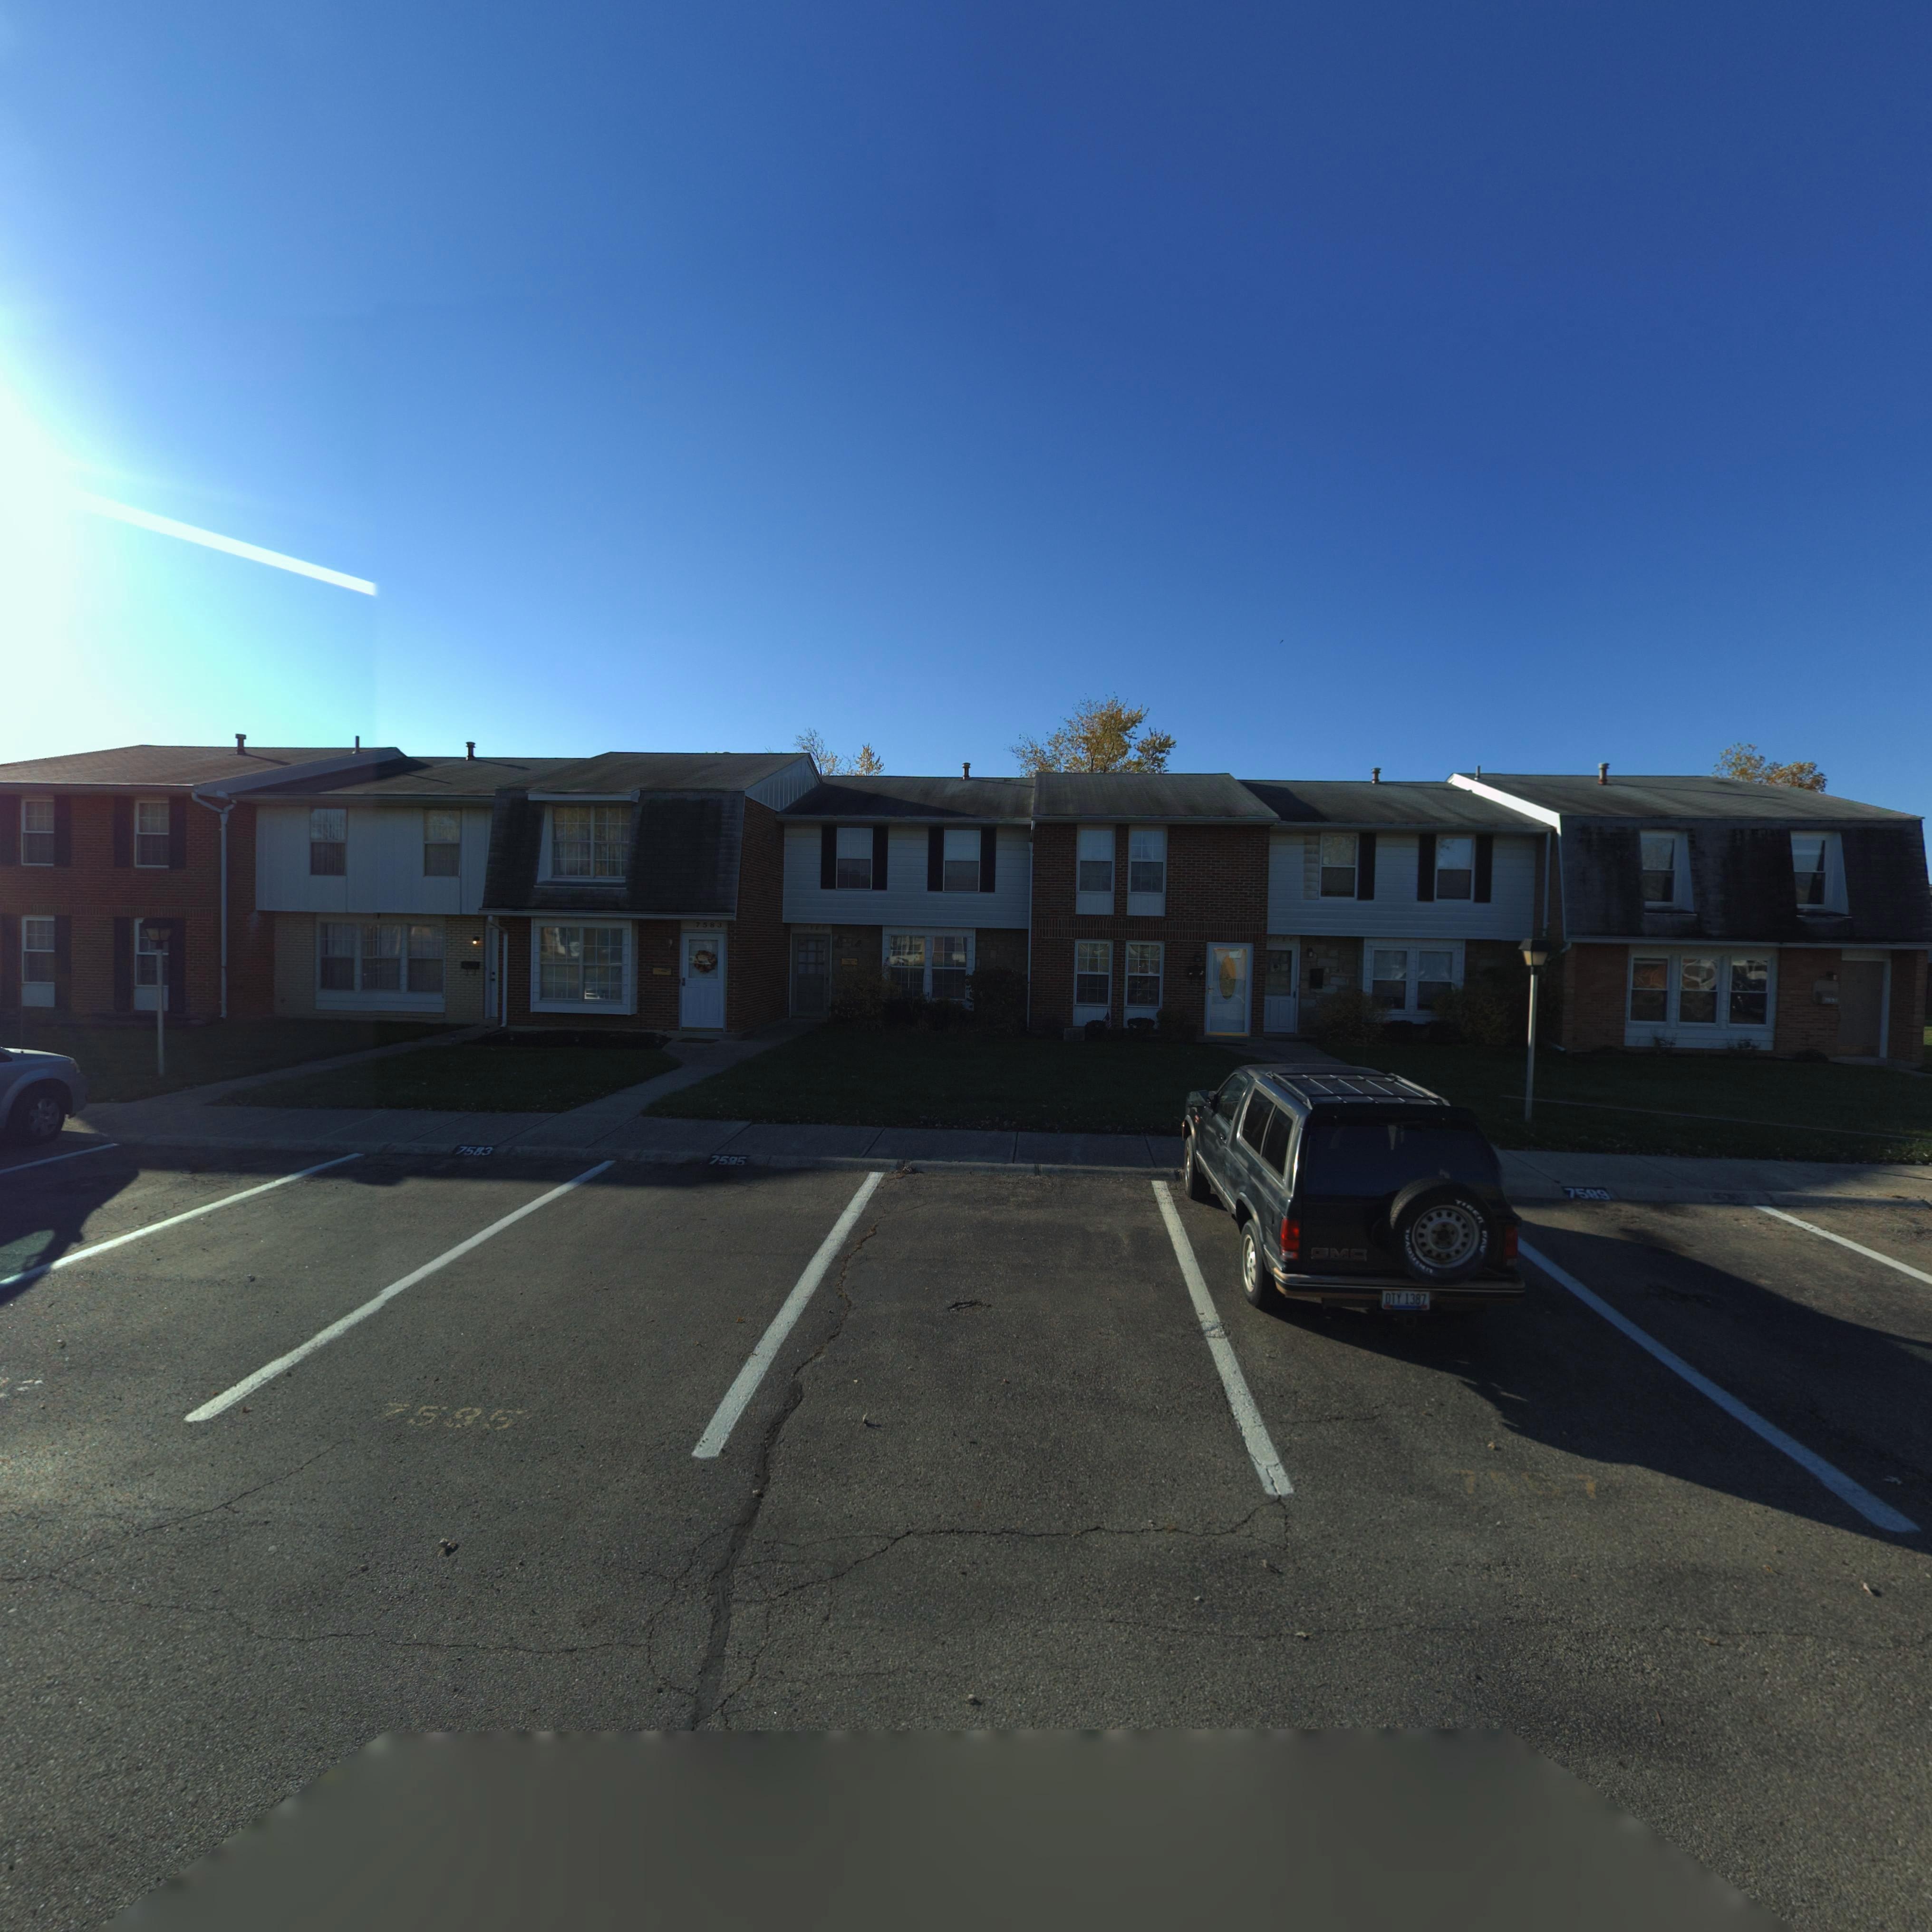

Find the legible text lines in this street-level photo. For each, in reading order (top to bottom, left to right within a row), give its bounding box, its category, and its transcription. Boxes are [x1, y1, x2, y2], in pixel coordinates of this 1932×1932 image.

[695, 921, 723, 928] StreetNumber: 7583
[801, 925, 827, 931] StreetNumber: 7585
[1268, 936, 1294, 943] StreetNumber: 758*
[453, 1146, 493, 1156] StreetNumber: 7583
[708, 1155, 748, 1166] StreetNumber: 7585
[1562, 1188, 1613, 1200] StreetNumber: 7589
[357, 1398, 532, 1433] StreetNumber: 7585
[1444, 1463, 1604, 1505] StreetNumber: 7587